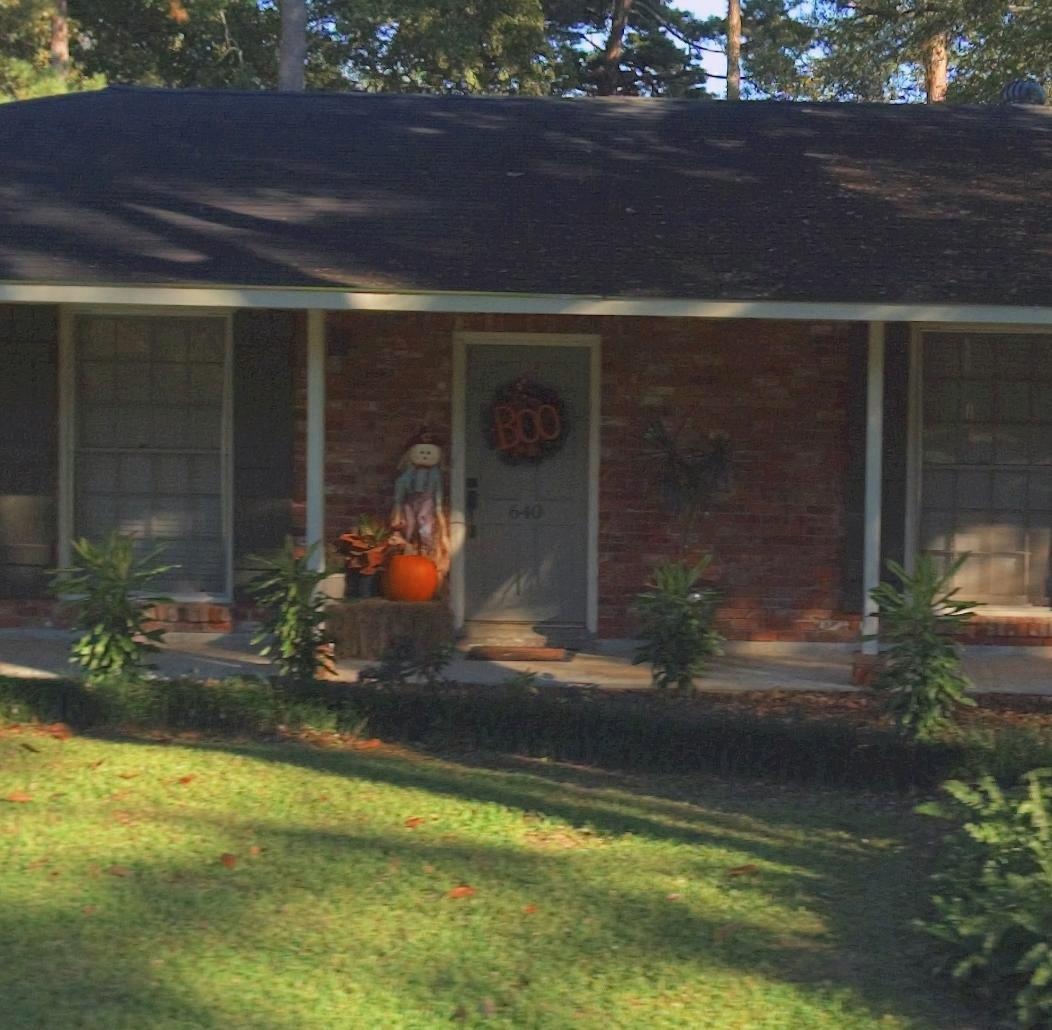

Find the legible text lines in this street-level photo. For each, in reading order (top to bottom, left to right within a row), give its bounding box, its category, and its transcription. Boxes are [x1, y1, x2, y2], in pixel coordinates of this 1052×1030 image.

[507, 500, 545, 522] StreetNumber: 640